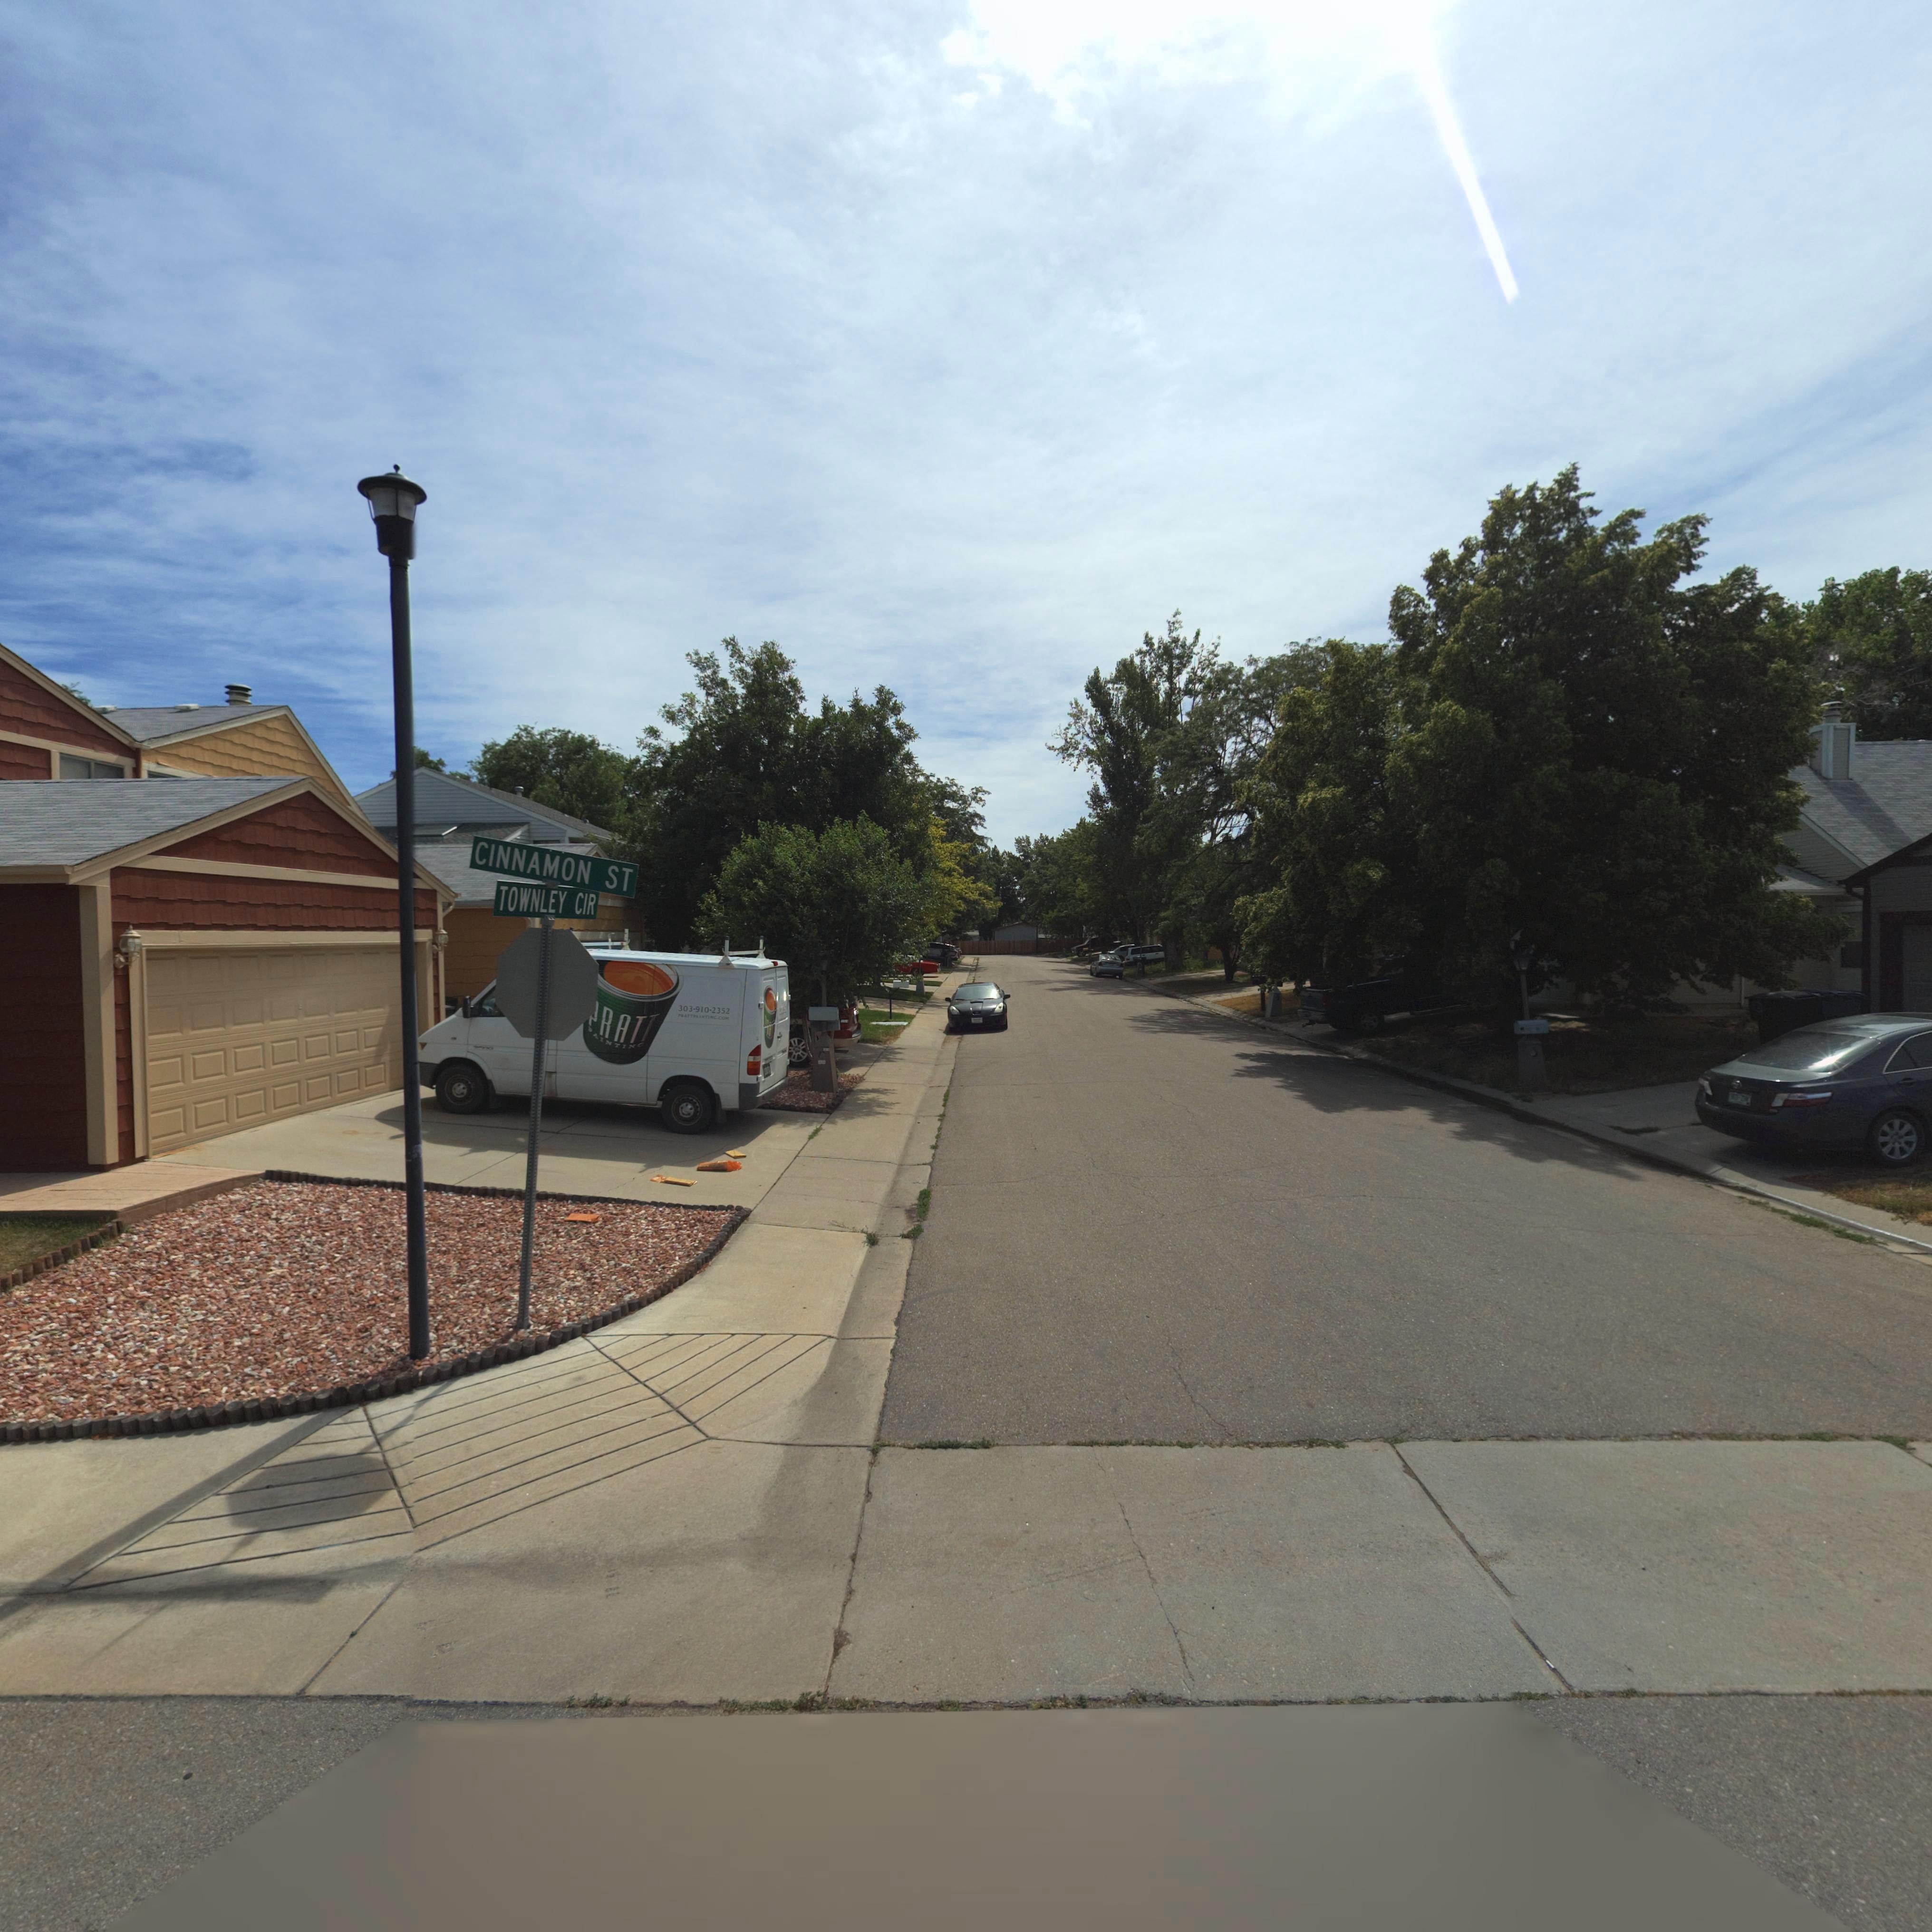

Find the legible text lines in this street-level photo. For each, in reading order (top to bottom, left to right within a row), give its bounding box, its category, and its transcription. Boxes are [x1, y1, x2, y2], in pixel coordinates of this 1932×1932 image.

[474, 840, 634, 892] StreetName: CINNAMON ST
[499, 885, 597, 916] StreetName: TOWNLEY CIR